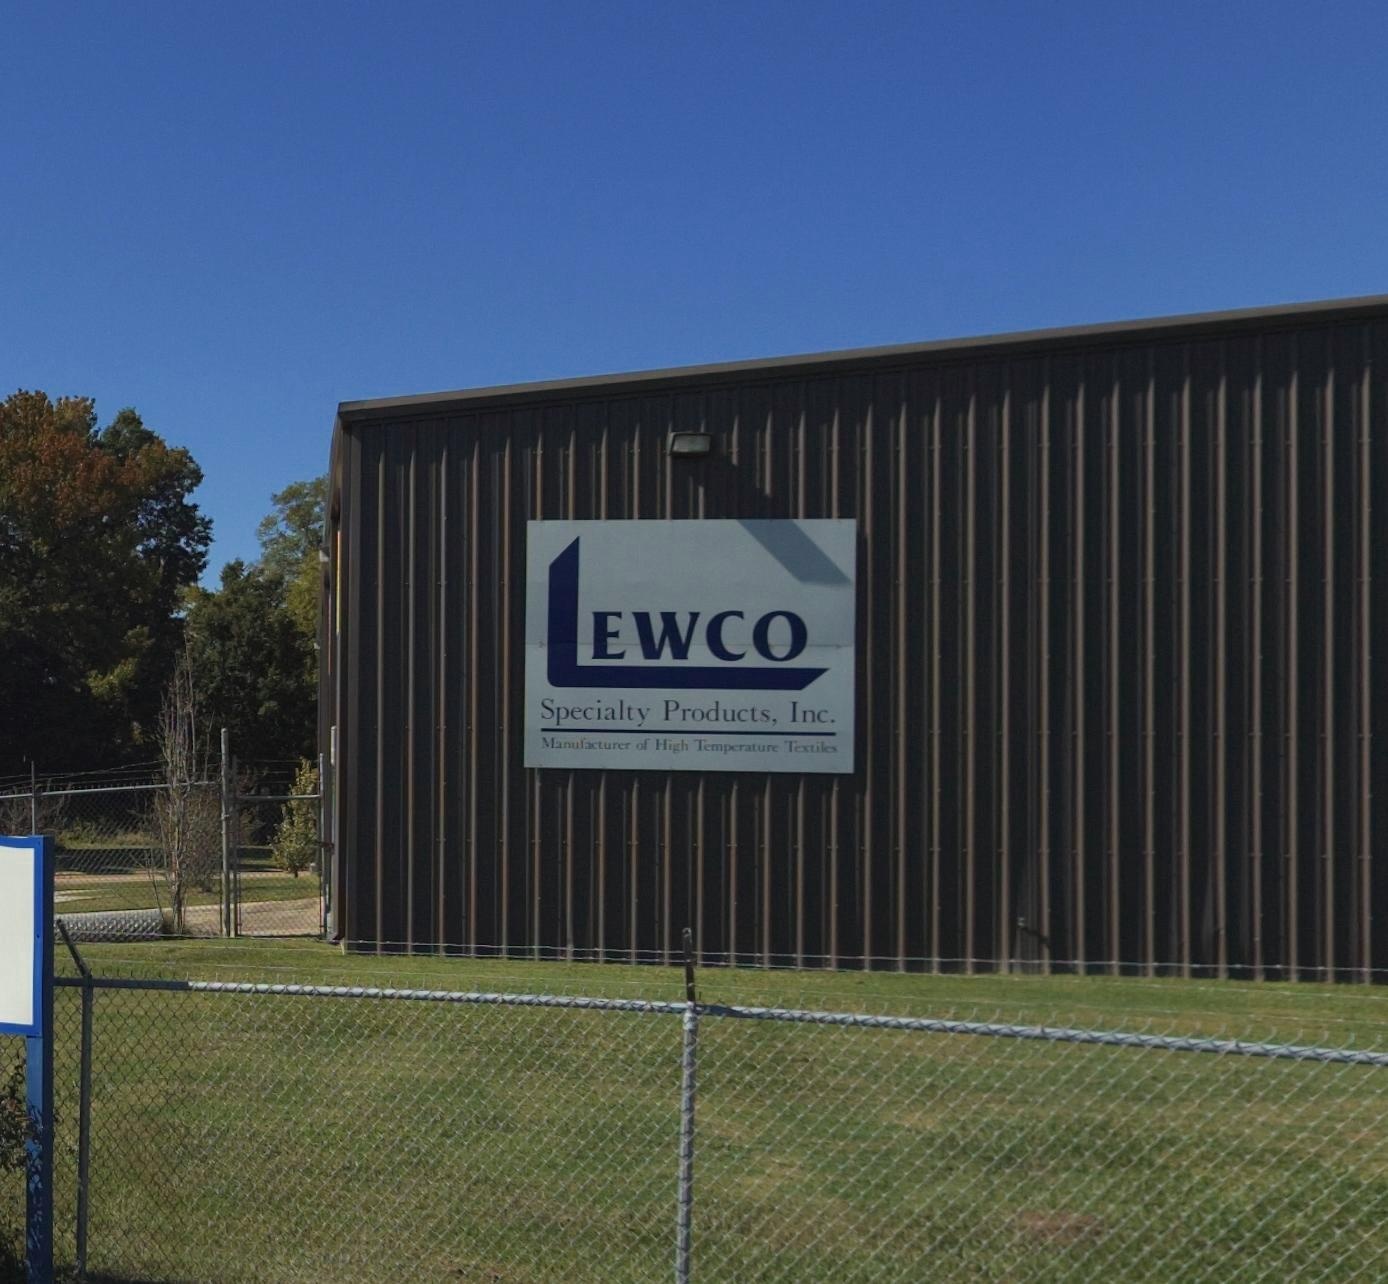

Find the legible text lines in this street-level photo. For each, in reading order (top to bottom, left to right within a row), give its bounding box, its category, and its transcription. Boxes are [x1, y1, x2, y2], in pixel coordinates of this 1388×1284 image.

[542, 528, 841, 698] BusinessName: LEWCO
[537, 696, 838, 729] BusinessName: Specialtv Products, Inc.
[539, 734, 840, 757] None: Manufacturer of High Temperature Textiles